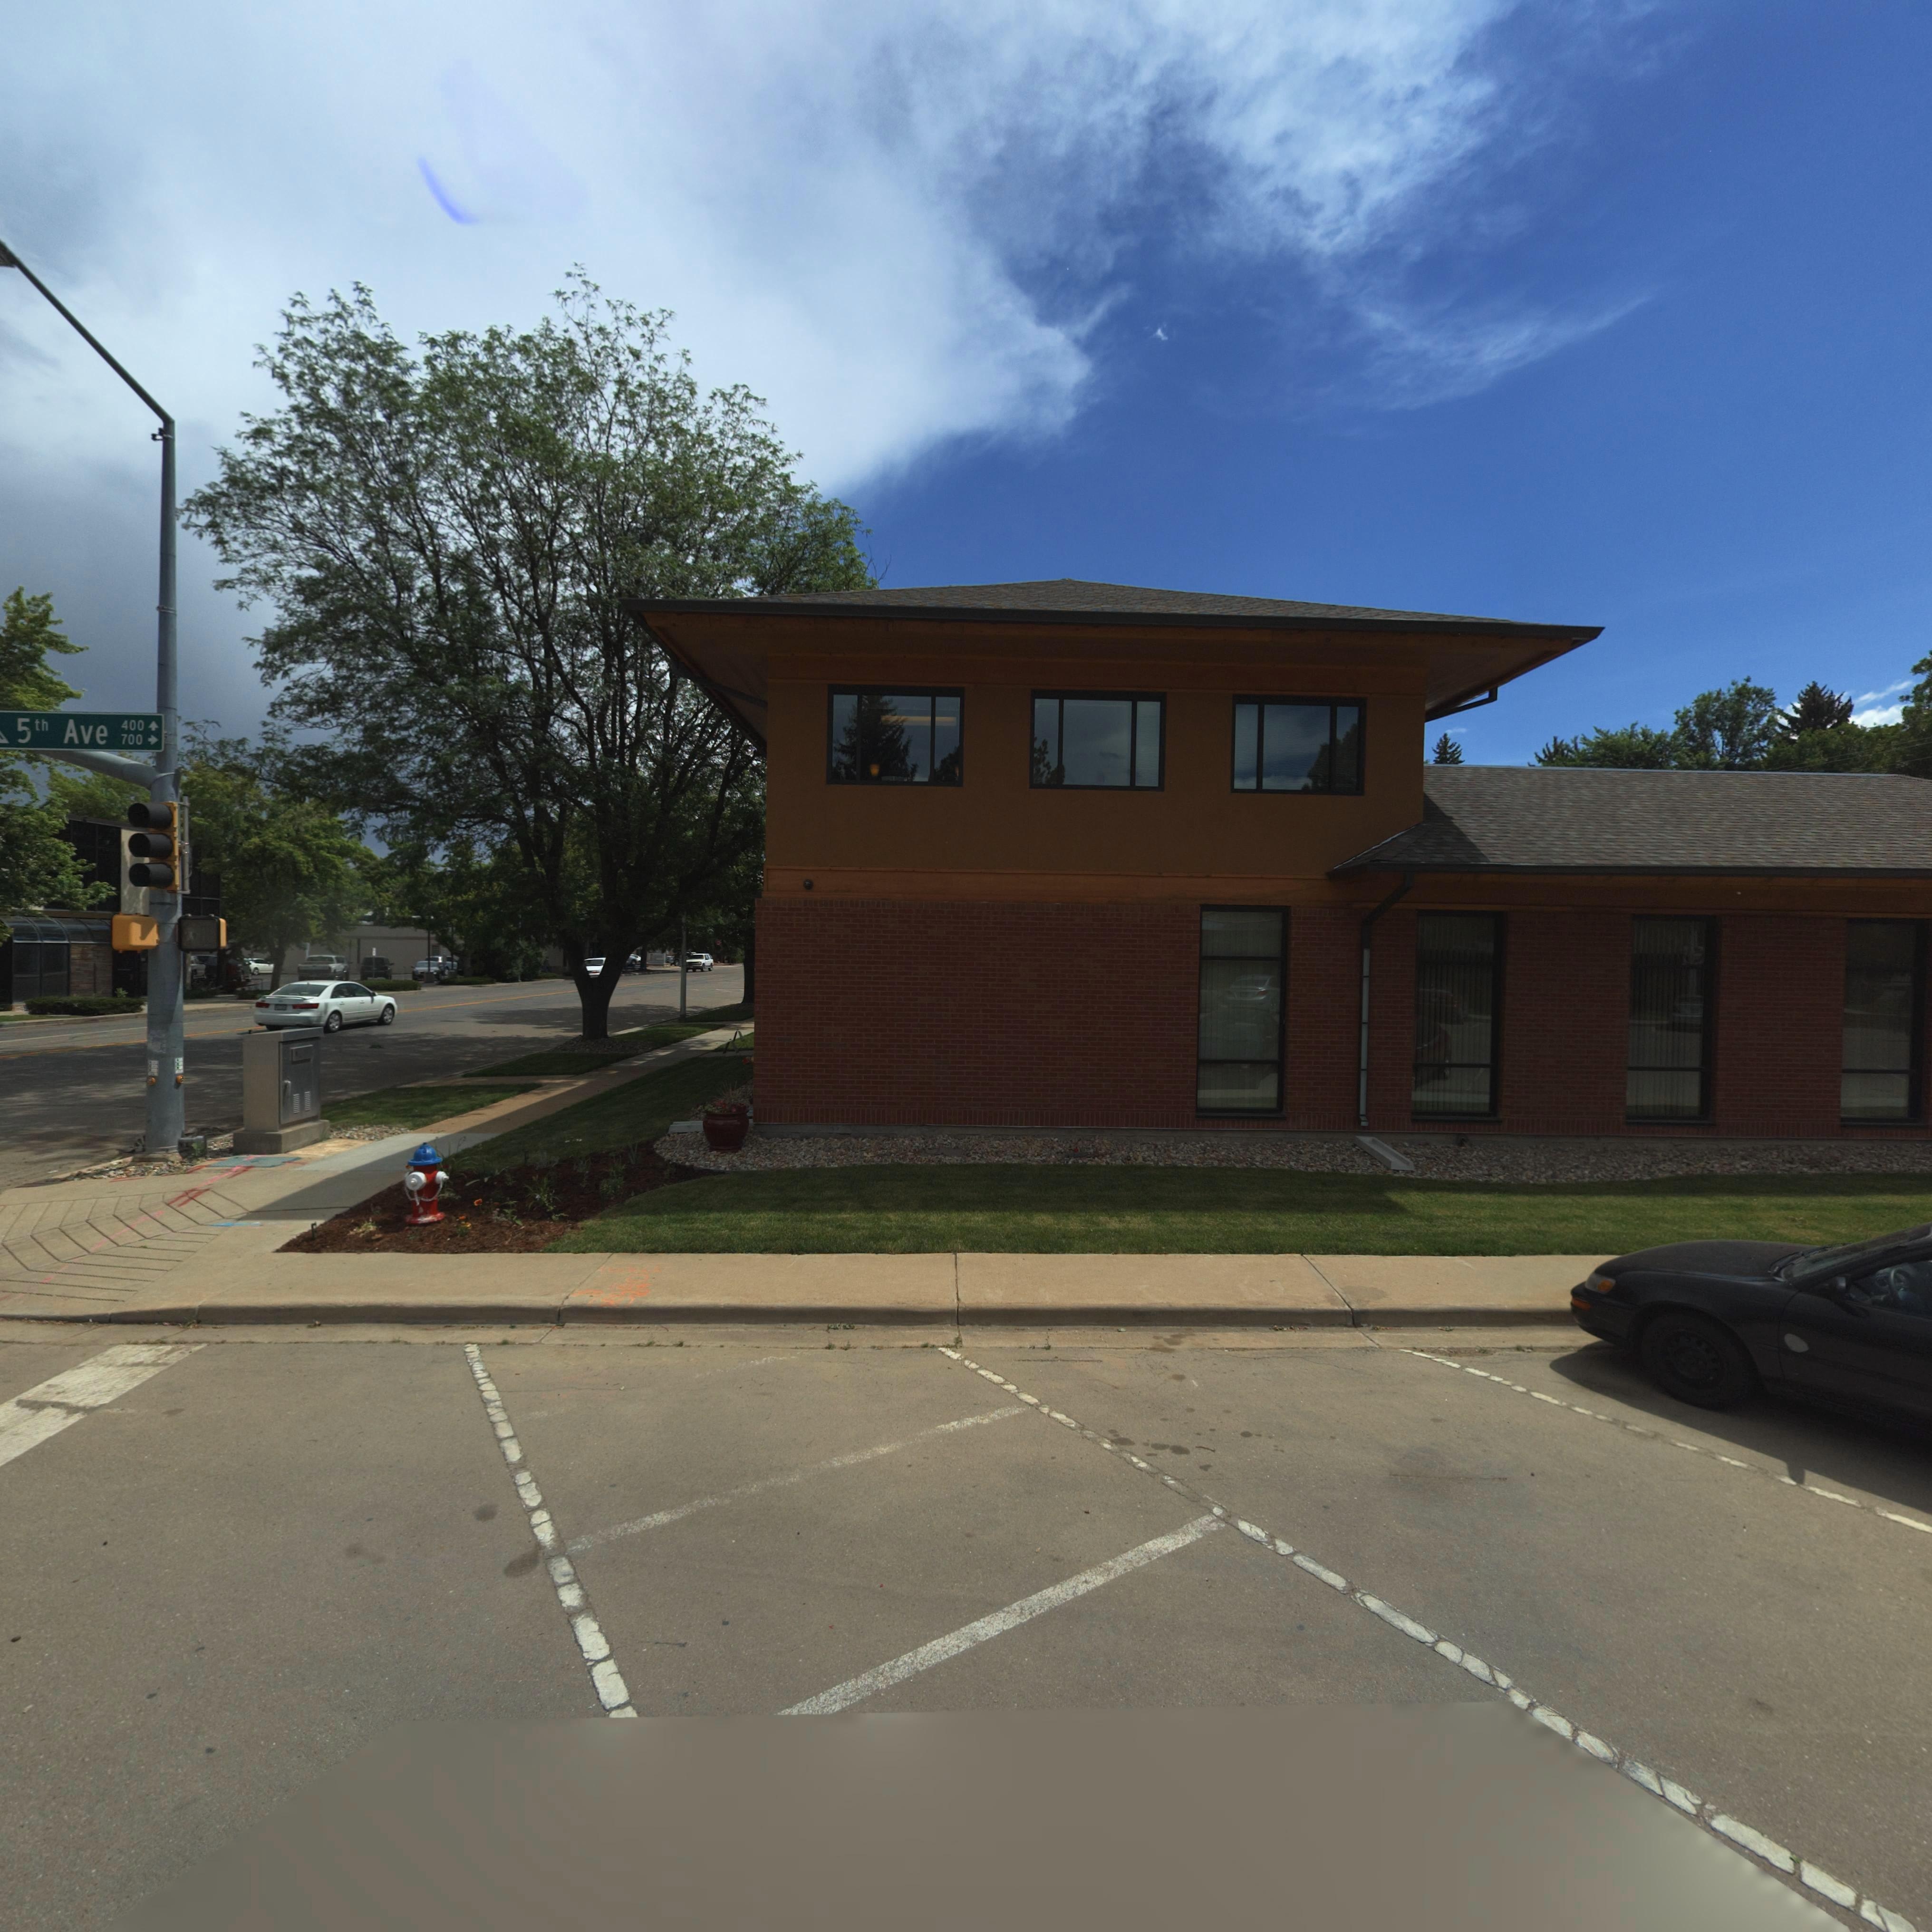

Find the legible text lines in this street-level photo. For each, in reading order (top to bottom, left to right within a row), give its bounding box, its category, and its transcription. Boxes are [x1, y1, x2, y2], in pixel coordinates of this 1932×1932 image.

[17, 717, 109, 744] StreetName: 5th Ave
[120, 719, 145, 731] StreetNumberRange: 400
[121, 734, 160, 745] StreetNumberRange: 700->